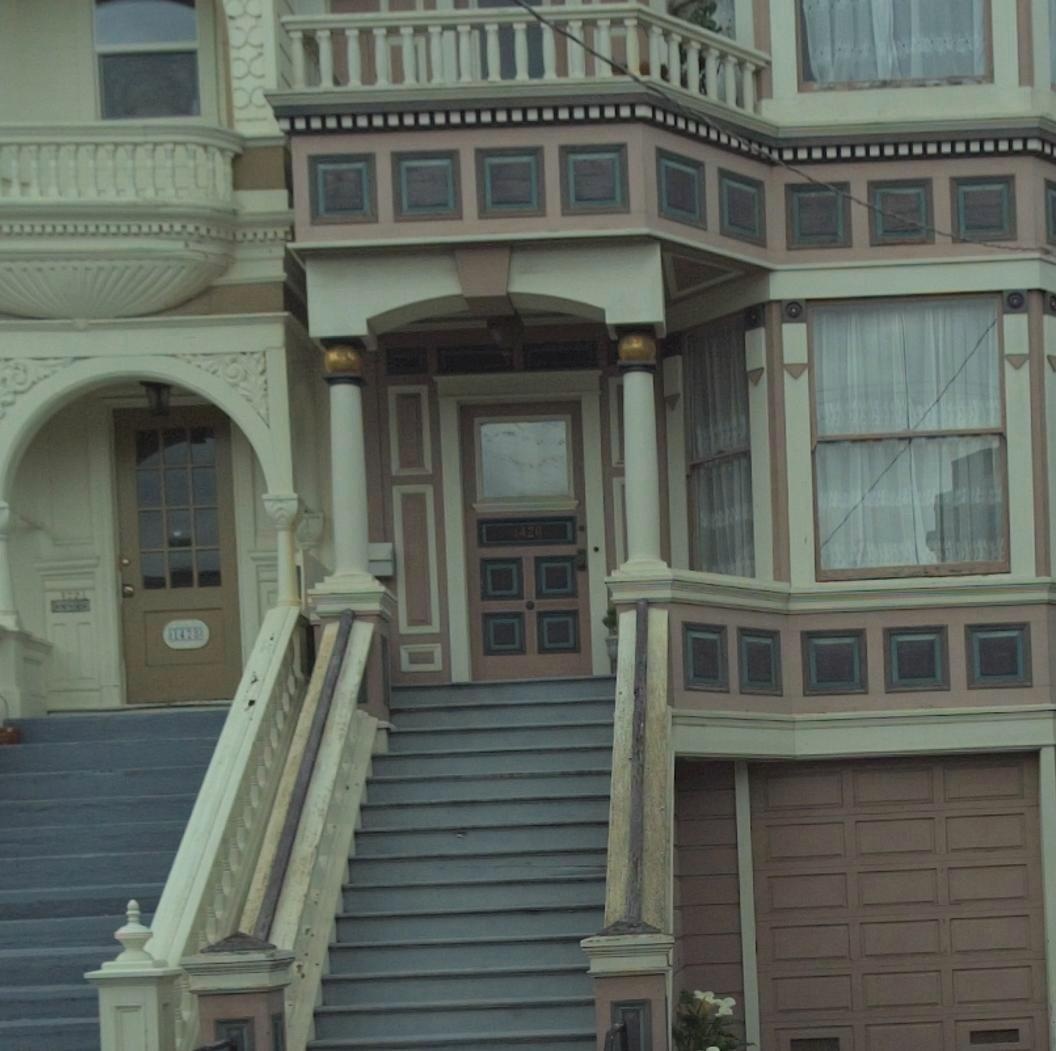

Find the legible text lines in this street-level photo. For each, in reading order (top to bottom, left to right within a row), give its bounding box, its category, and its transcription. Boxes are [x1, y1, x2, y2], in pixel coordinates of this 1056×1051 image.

[513, 525, 544, 539] StreetNumber: 1426
[60, 589, 87, 601] None: *2**
[172, 627, 199, 641] StreetNumber: 1428